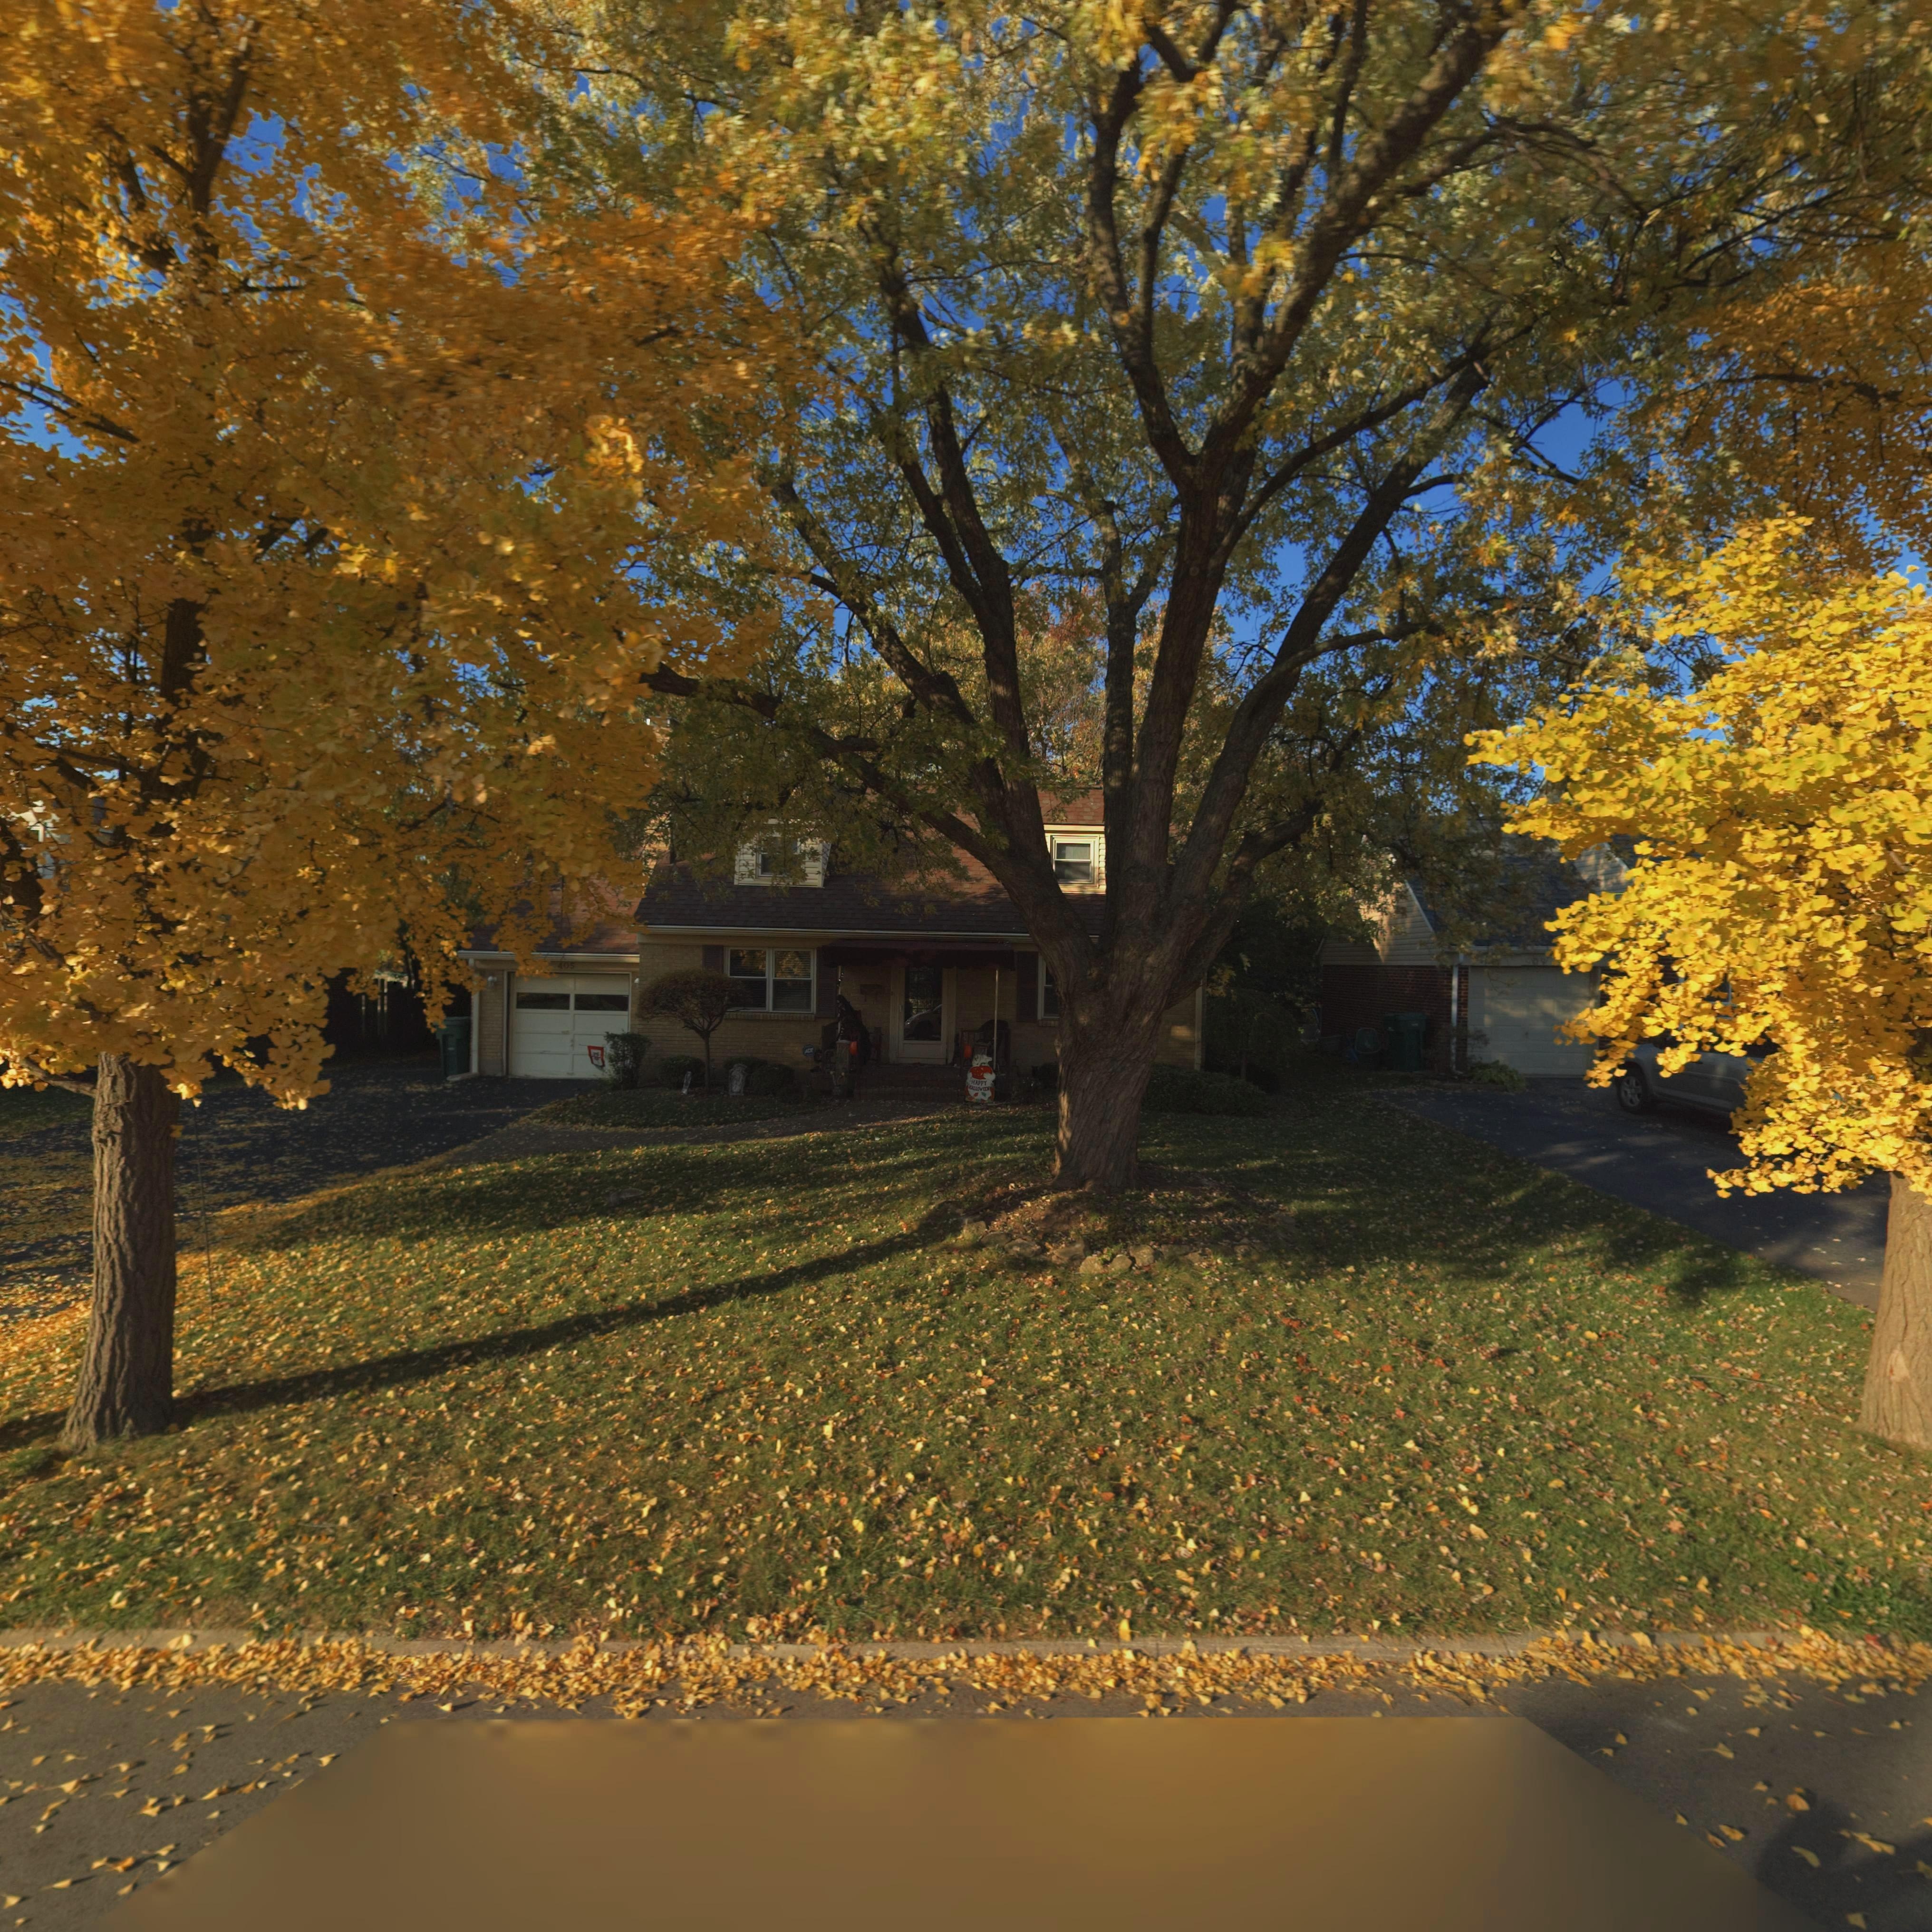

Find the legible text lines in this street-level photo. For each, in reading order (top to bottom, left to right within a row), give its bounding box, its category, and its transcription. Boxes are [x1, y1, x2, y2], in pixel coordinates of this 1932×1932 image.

[556, 960, 577, 971] StreetNumber: 405